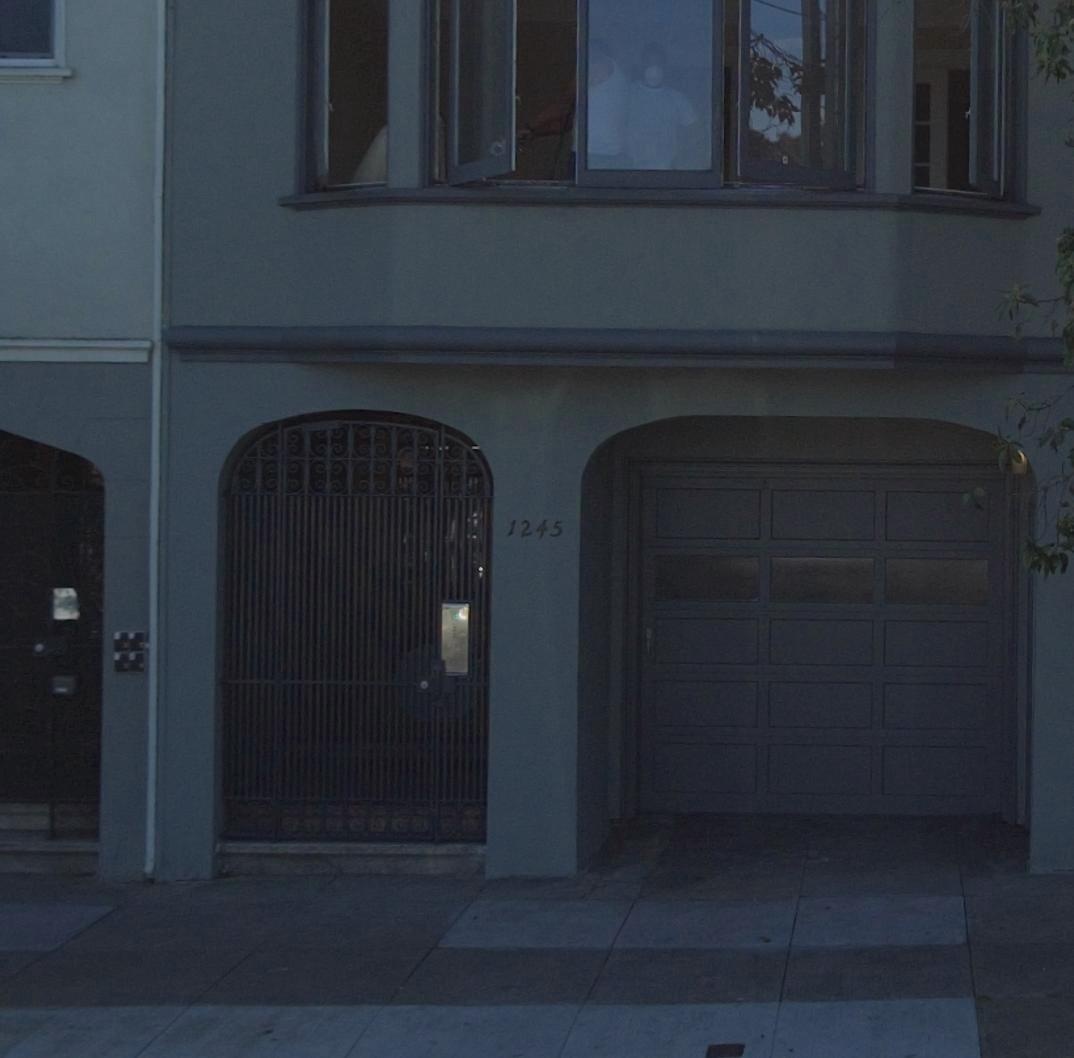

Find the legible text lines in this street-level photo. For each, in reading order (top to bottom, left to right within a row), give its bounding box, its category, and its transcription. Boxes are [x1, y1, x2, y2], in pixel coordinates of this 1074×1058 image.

[506, 519, 565, 539] StreetNumber: 1245